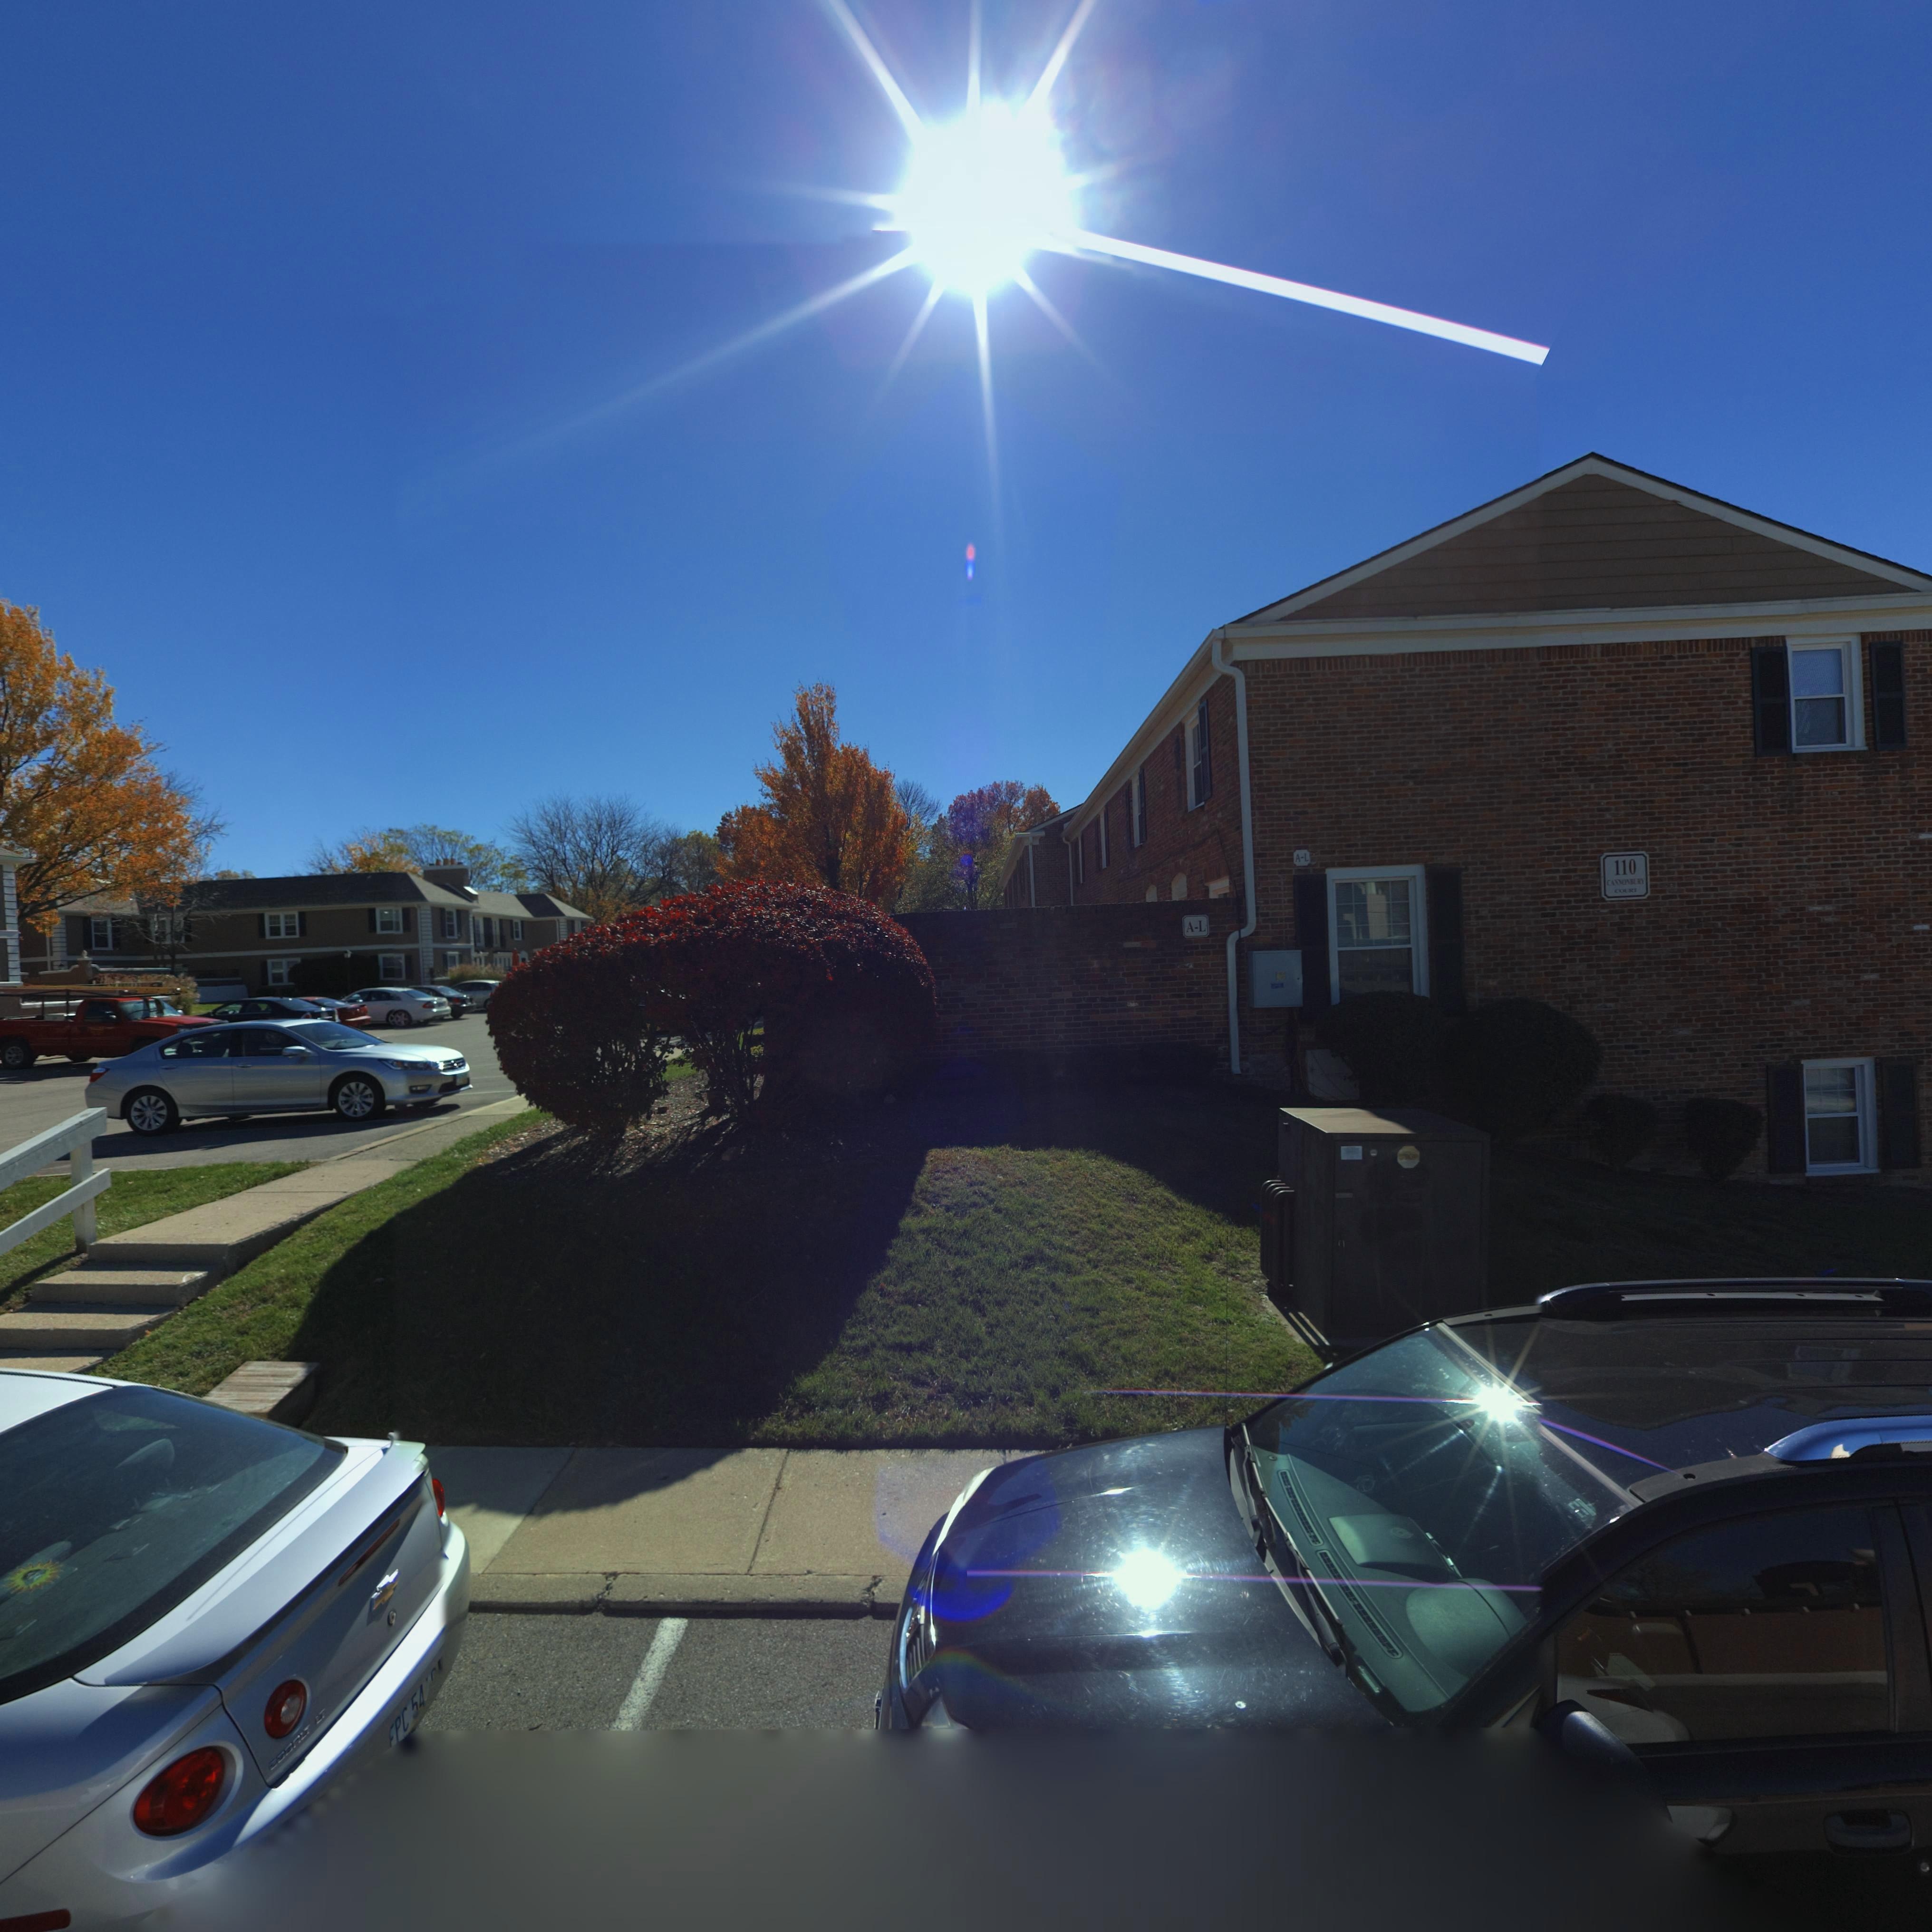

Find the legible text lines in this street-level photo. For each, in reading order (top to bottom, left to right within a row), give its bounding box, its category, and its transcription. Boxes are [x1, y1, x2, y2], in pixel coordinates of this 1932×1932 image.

[1613, 858, 1637, 876] StreetNumber: 110